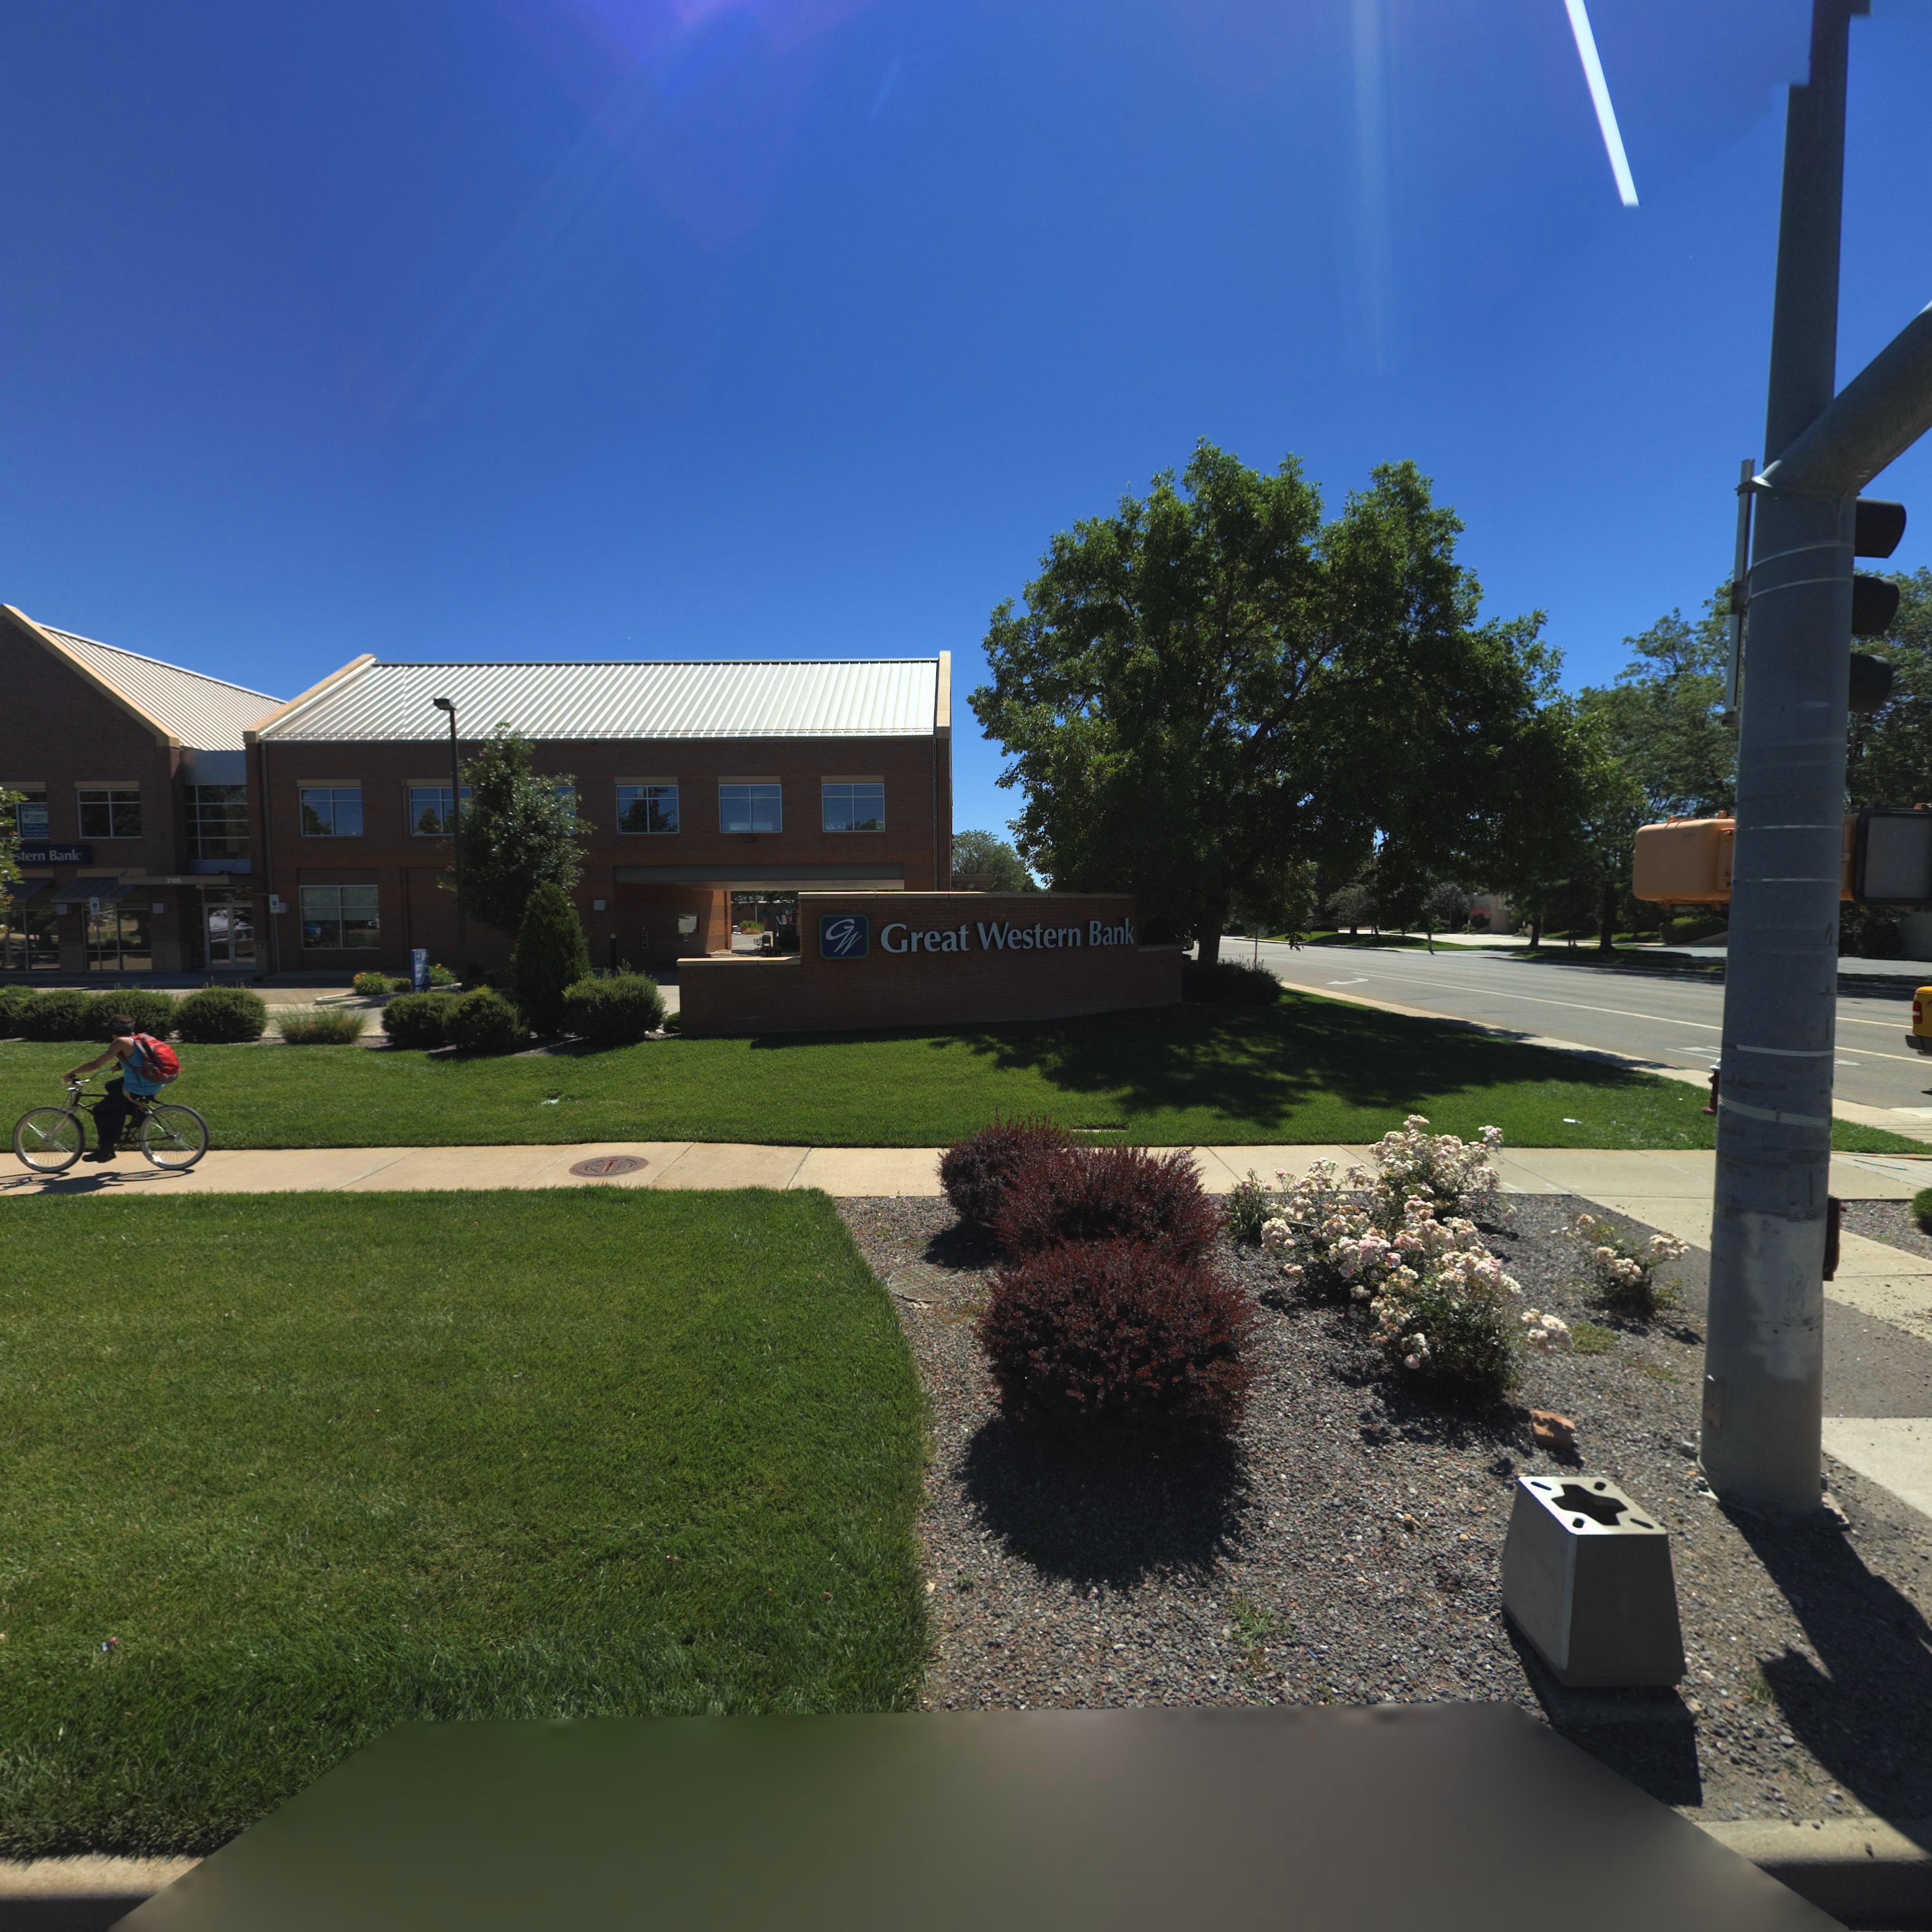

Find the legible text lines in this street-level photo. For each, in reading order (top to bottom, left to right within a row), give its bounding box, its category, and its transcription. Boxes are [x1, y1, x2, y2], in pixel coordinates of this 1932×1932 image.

[14, 848, 80, 863] BusinessName: stern Bank
[165, 877, 182, 884] StreetNumber: 2100
[880, 916, 1136, 954] BusinessName: Great Western Bank